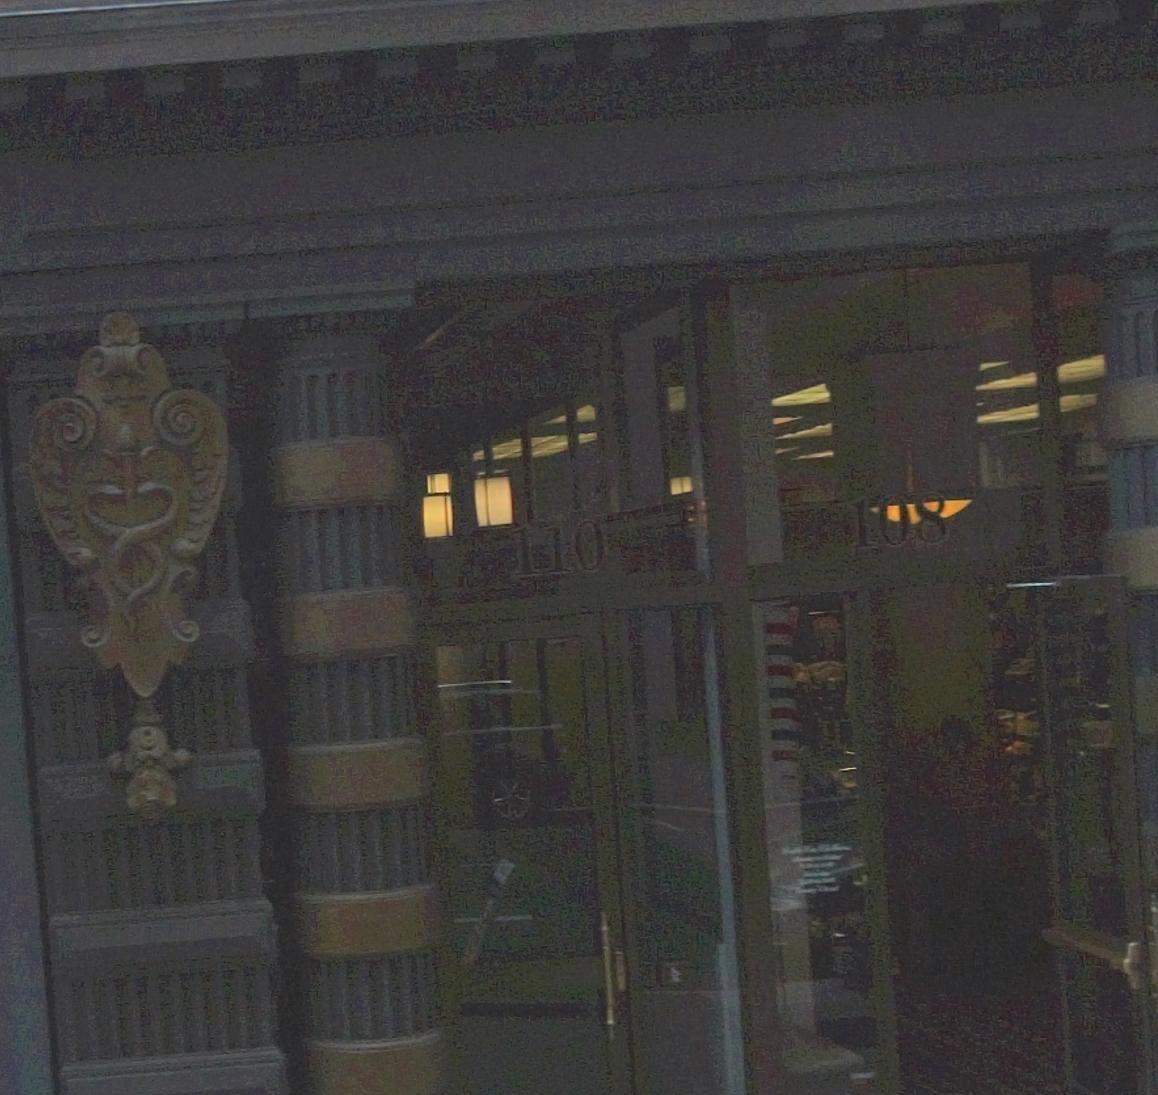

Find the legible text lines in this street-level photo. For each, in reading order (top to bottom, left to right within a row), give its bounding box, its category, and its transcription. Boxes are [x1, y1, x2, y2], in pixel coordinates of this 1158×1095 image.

[503, 515, 611, 584] StreetNumber: 110
[843, 489, 956, 554] StreetNumber: 108